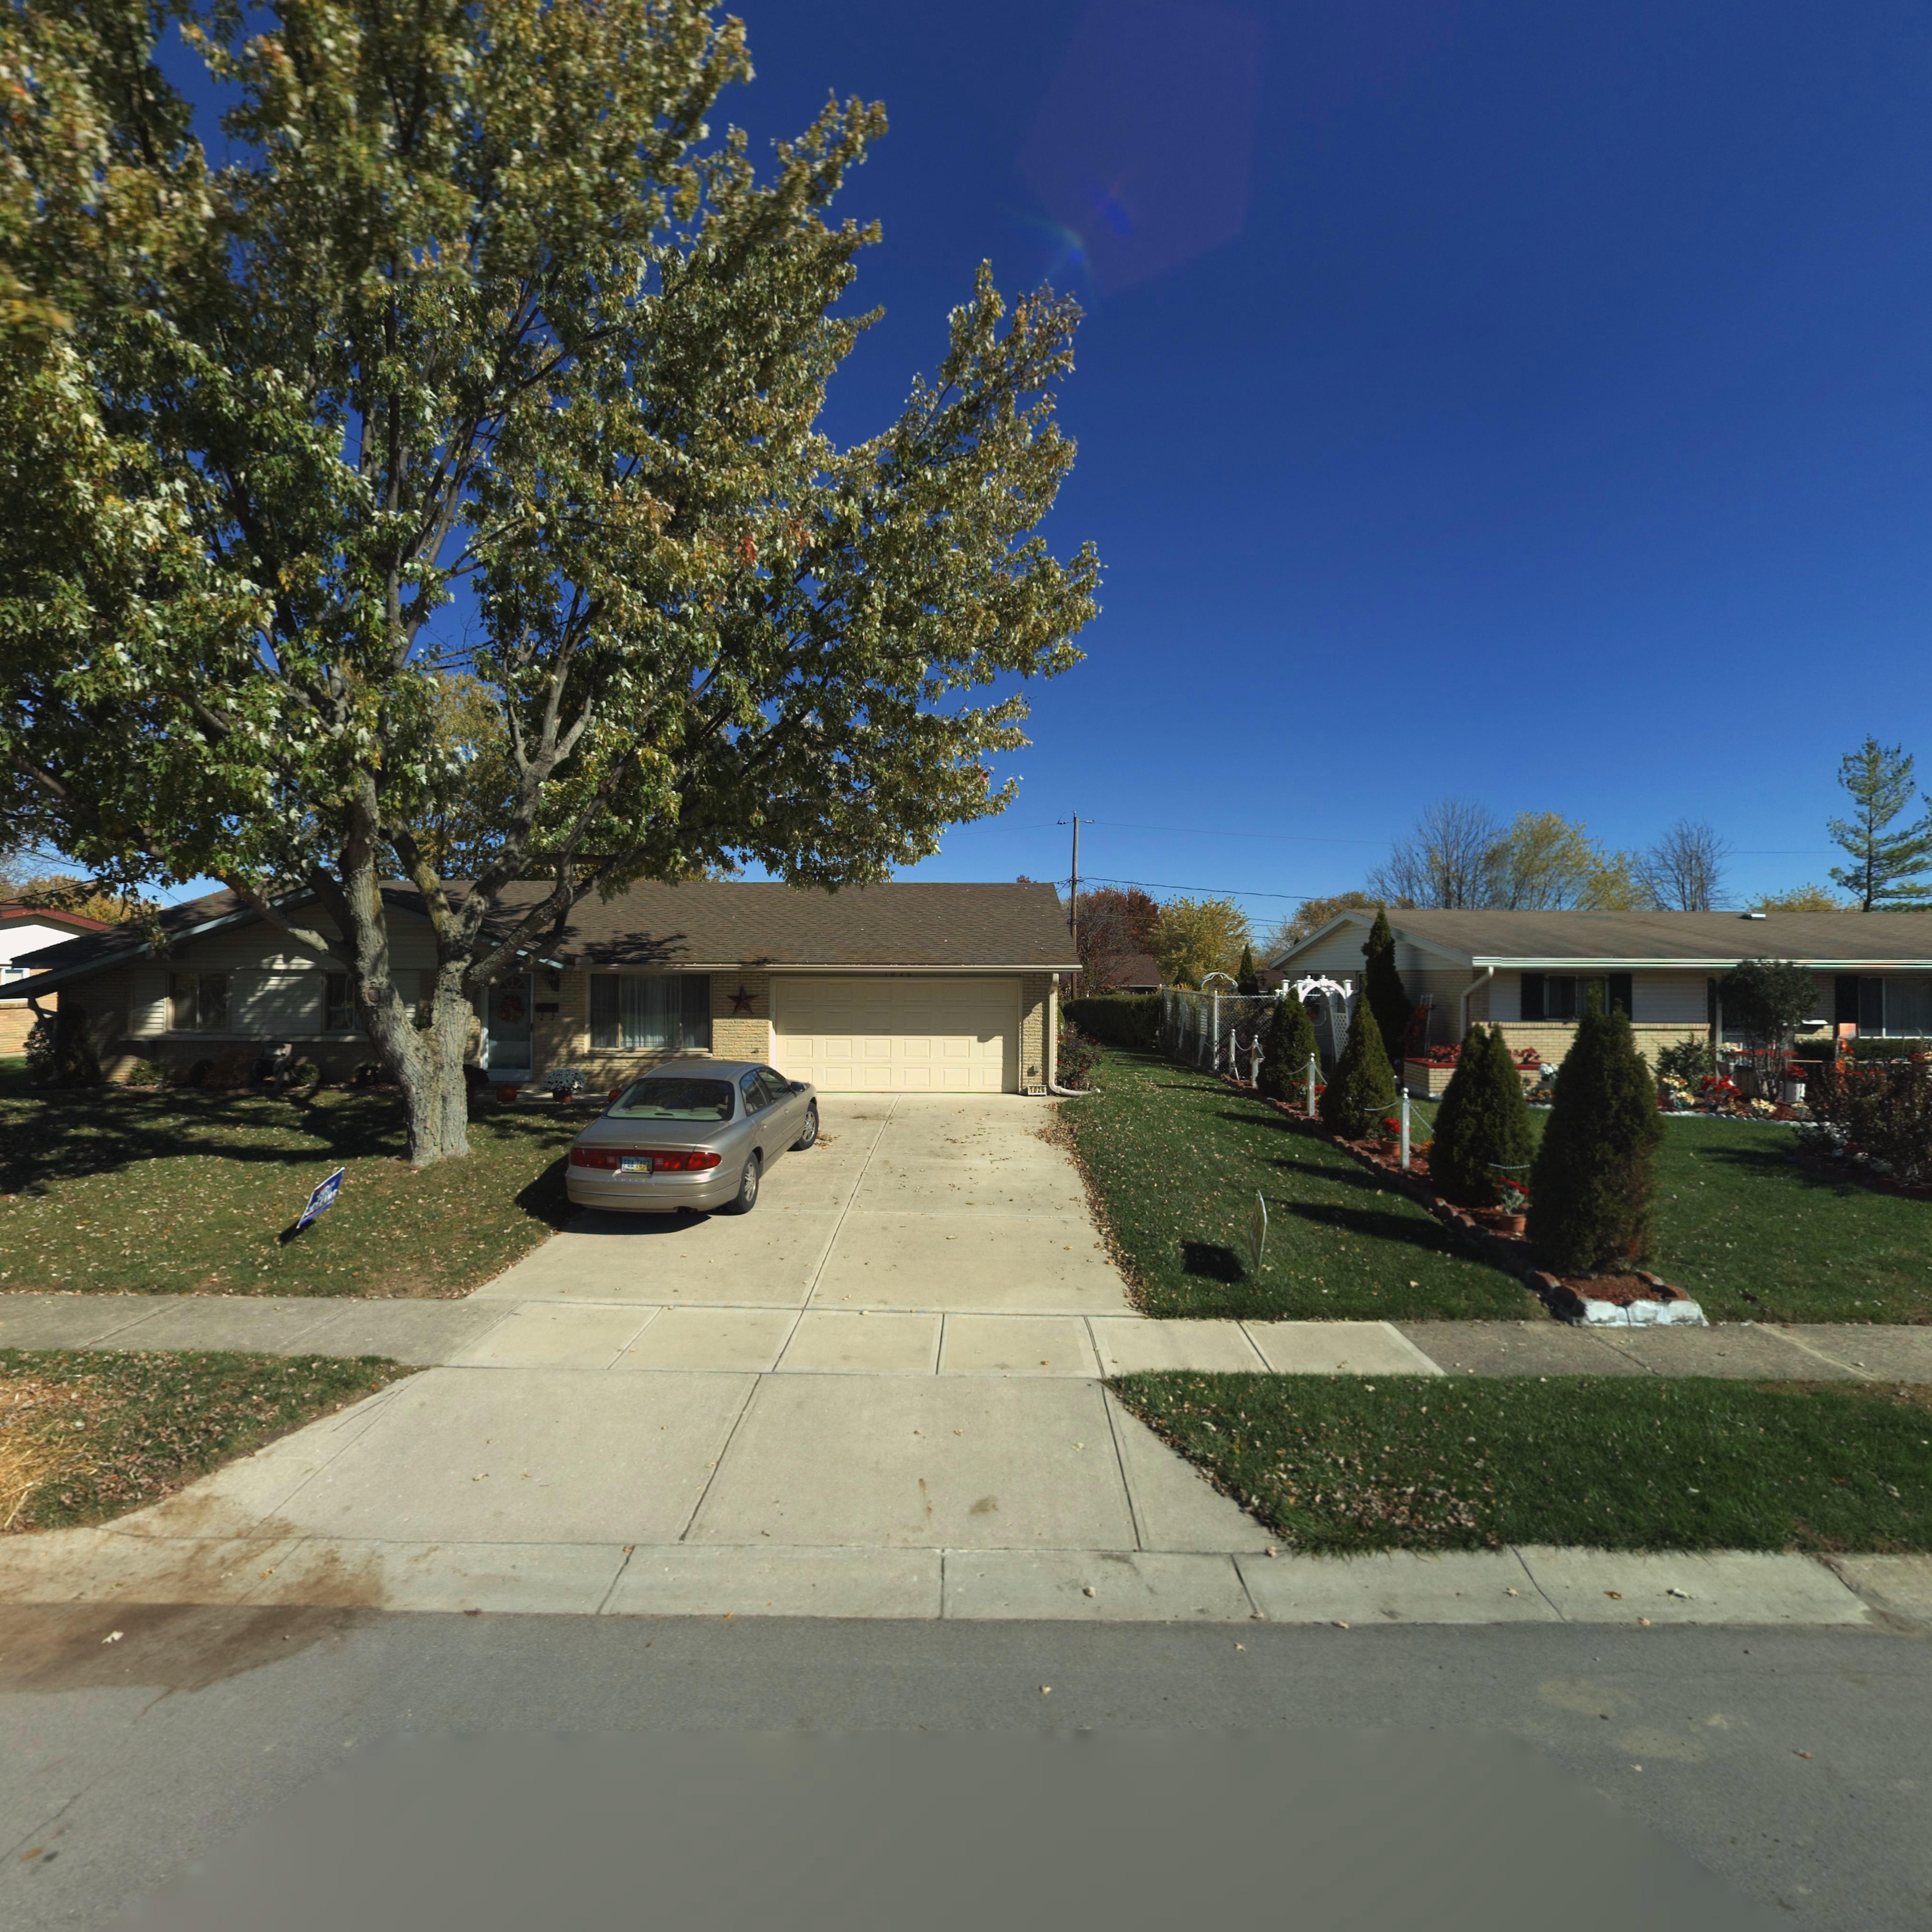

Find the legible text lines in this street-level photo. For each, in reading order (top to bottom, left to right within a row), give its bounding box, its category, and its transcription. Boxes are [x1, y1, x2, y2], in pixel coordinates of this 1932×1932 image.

[1029, 1086, 1045, 1093] StreetNumber: 1026